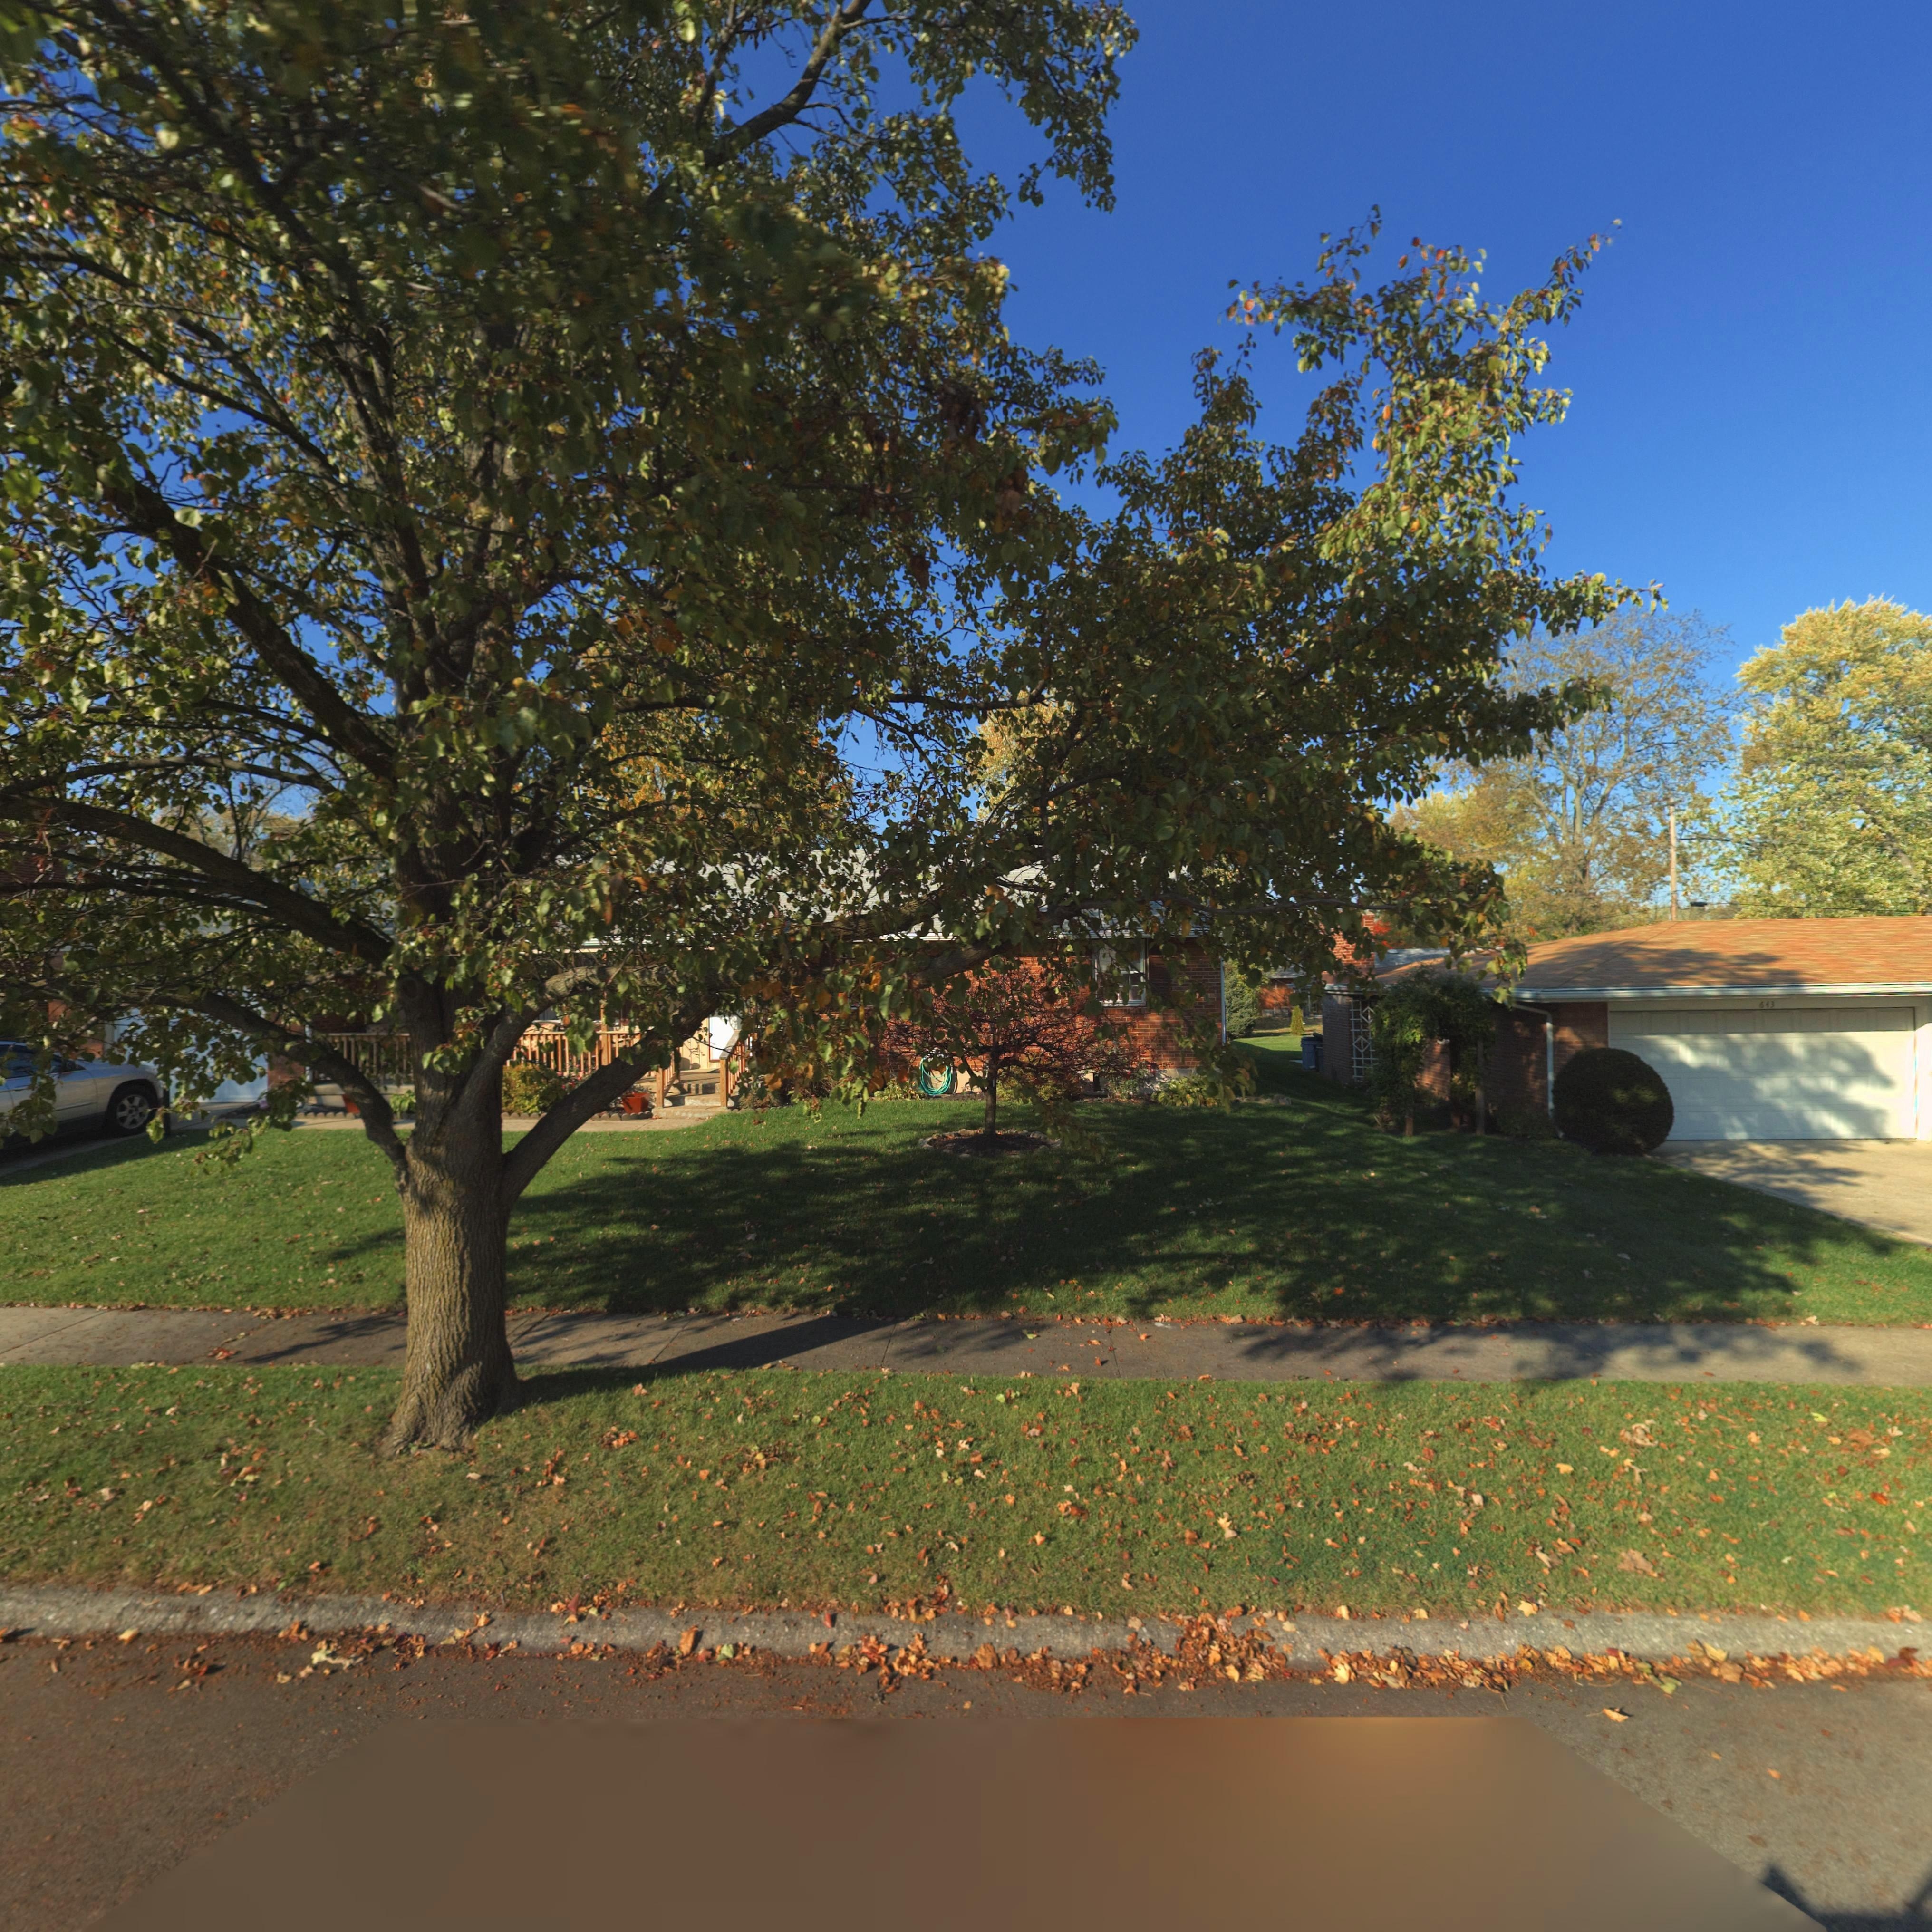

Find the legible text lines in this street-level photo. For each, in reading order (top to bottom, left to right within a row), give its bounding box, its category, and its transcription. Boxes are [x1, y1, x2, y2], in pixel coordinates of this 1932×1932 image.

[1758, 1000, 1776, 1008] StreetNumber: 643